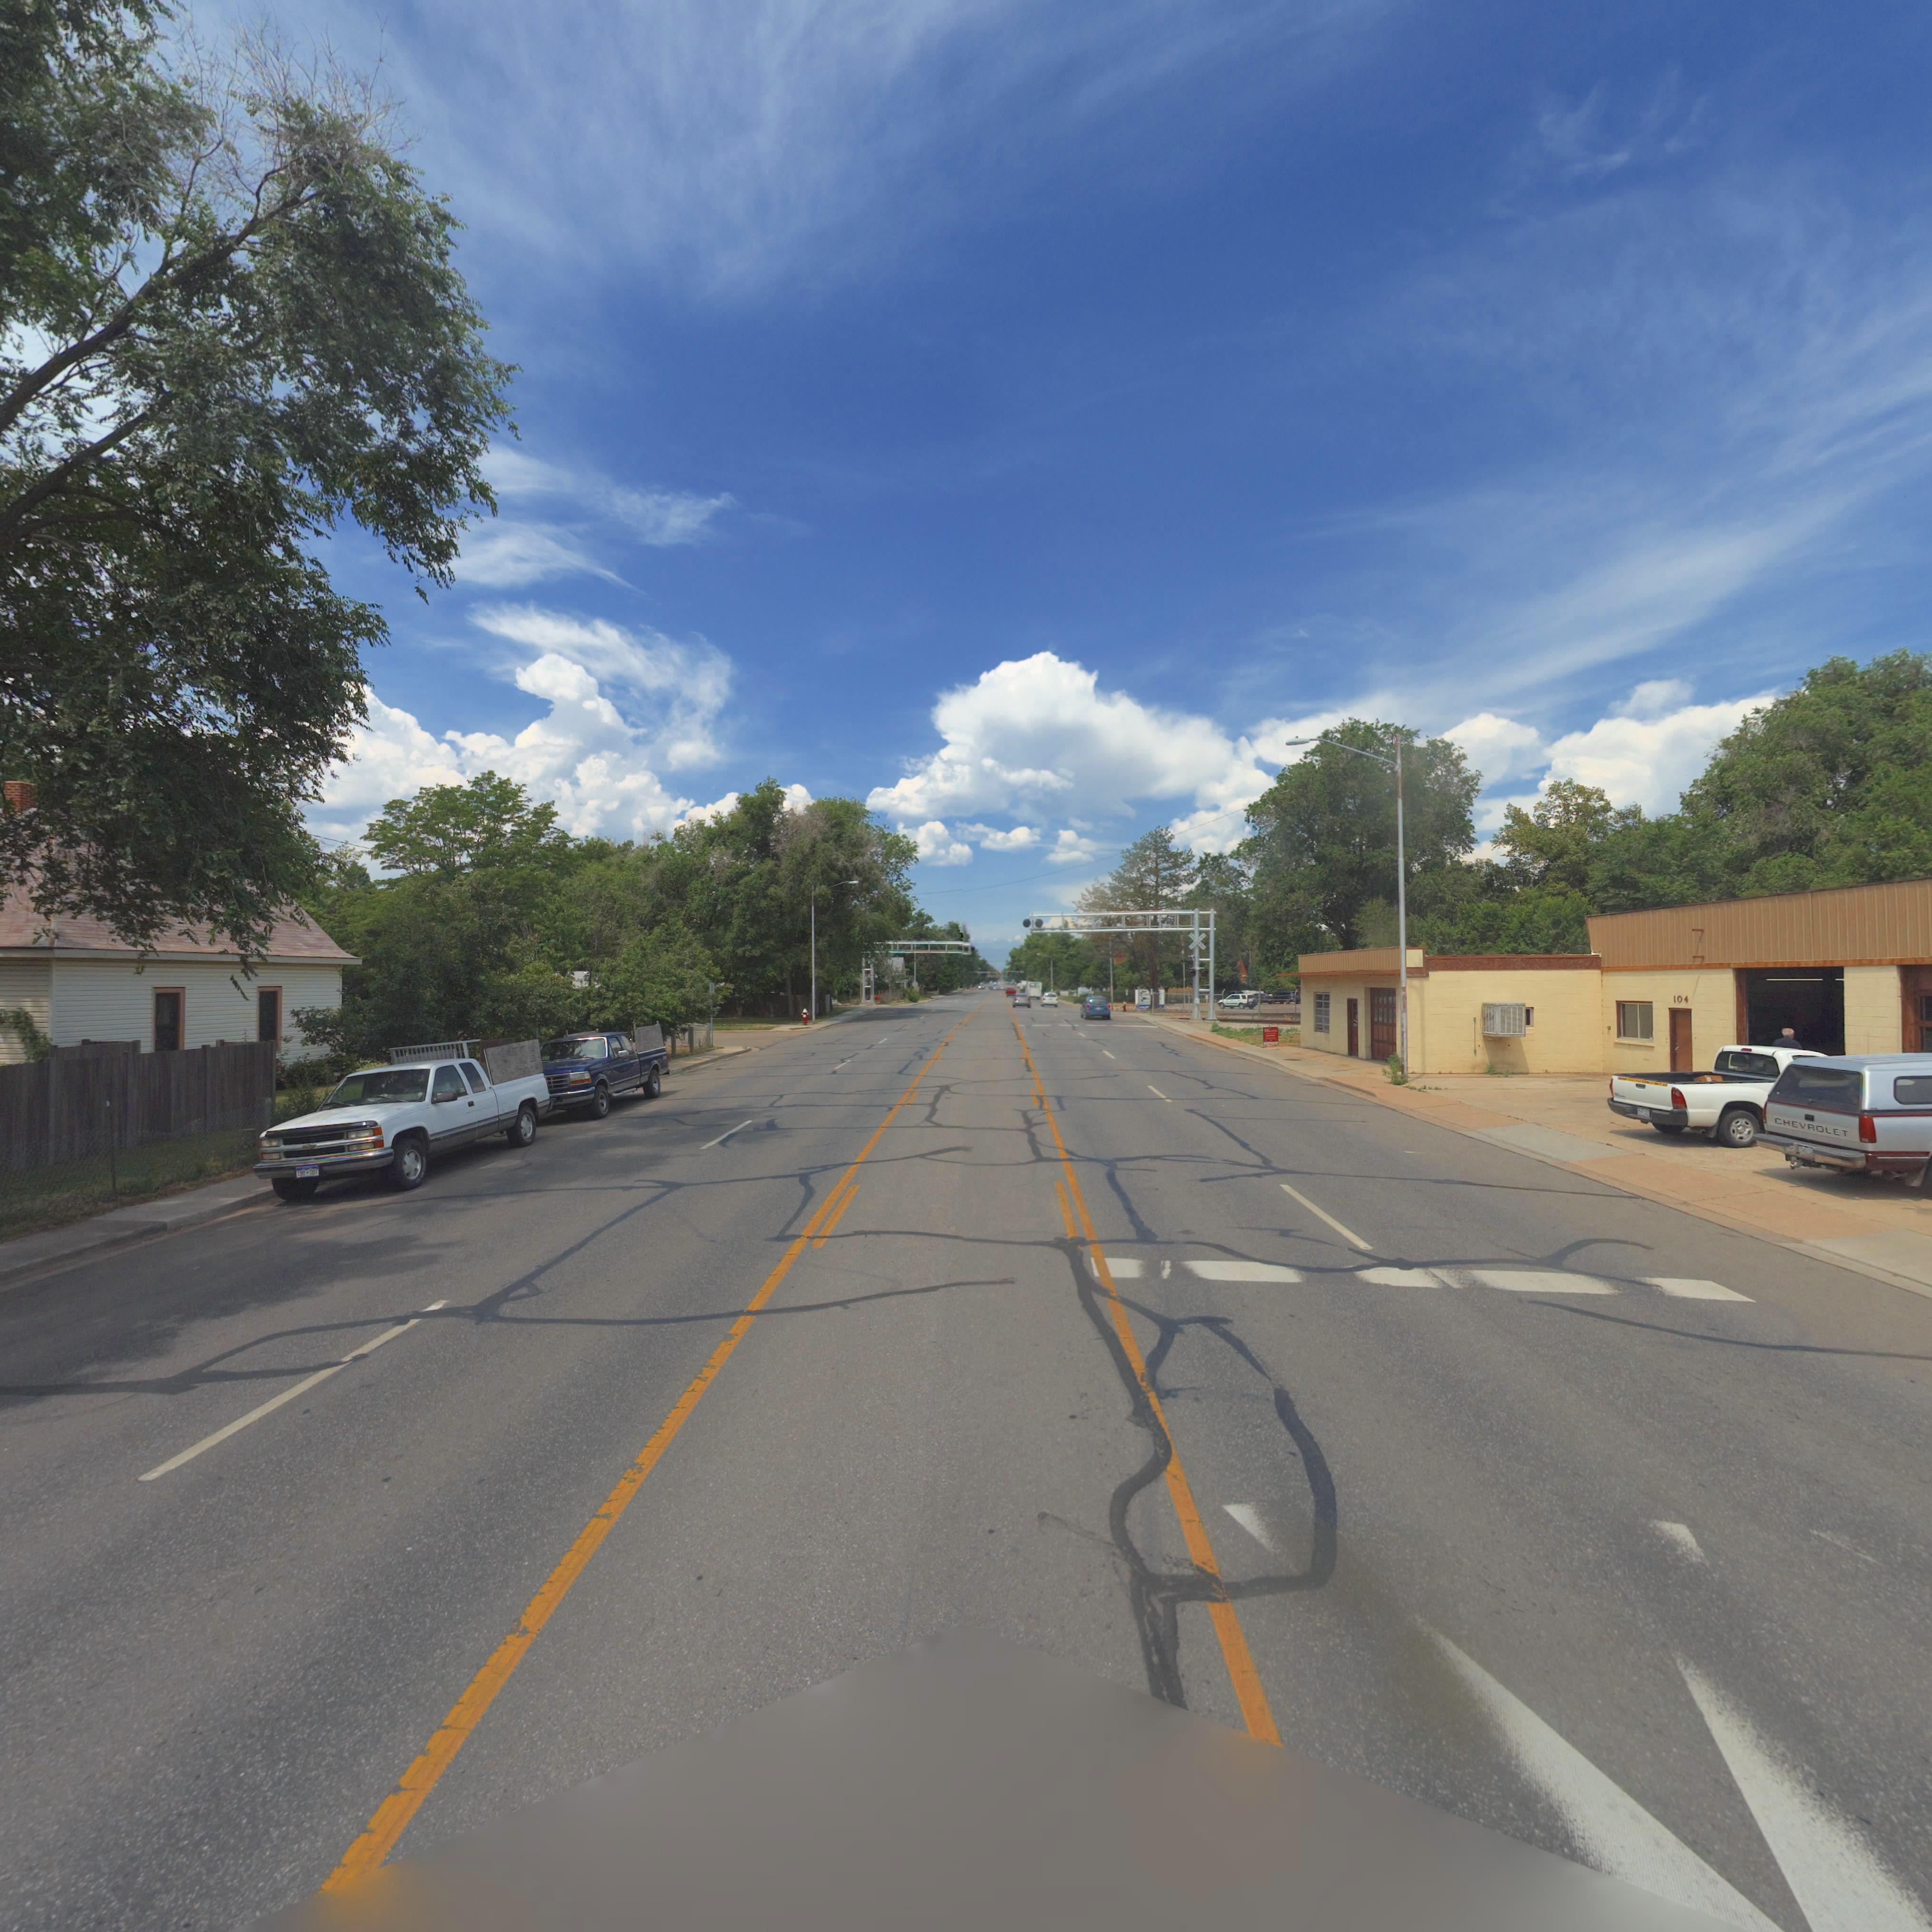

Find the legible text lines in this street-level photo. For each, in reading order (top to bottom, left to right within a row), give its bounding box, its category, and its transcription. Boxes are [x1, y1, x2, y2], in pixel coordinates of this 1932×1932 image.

[1673, 995, 1689, 1003] StreetNumber: 104